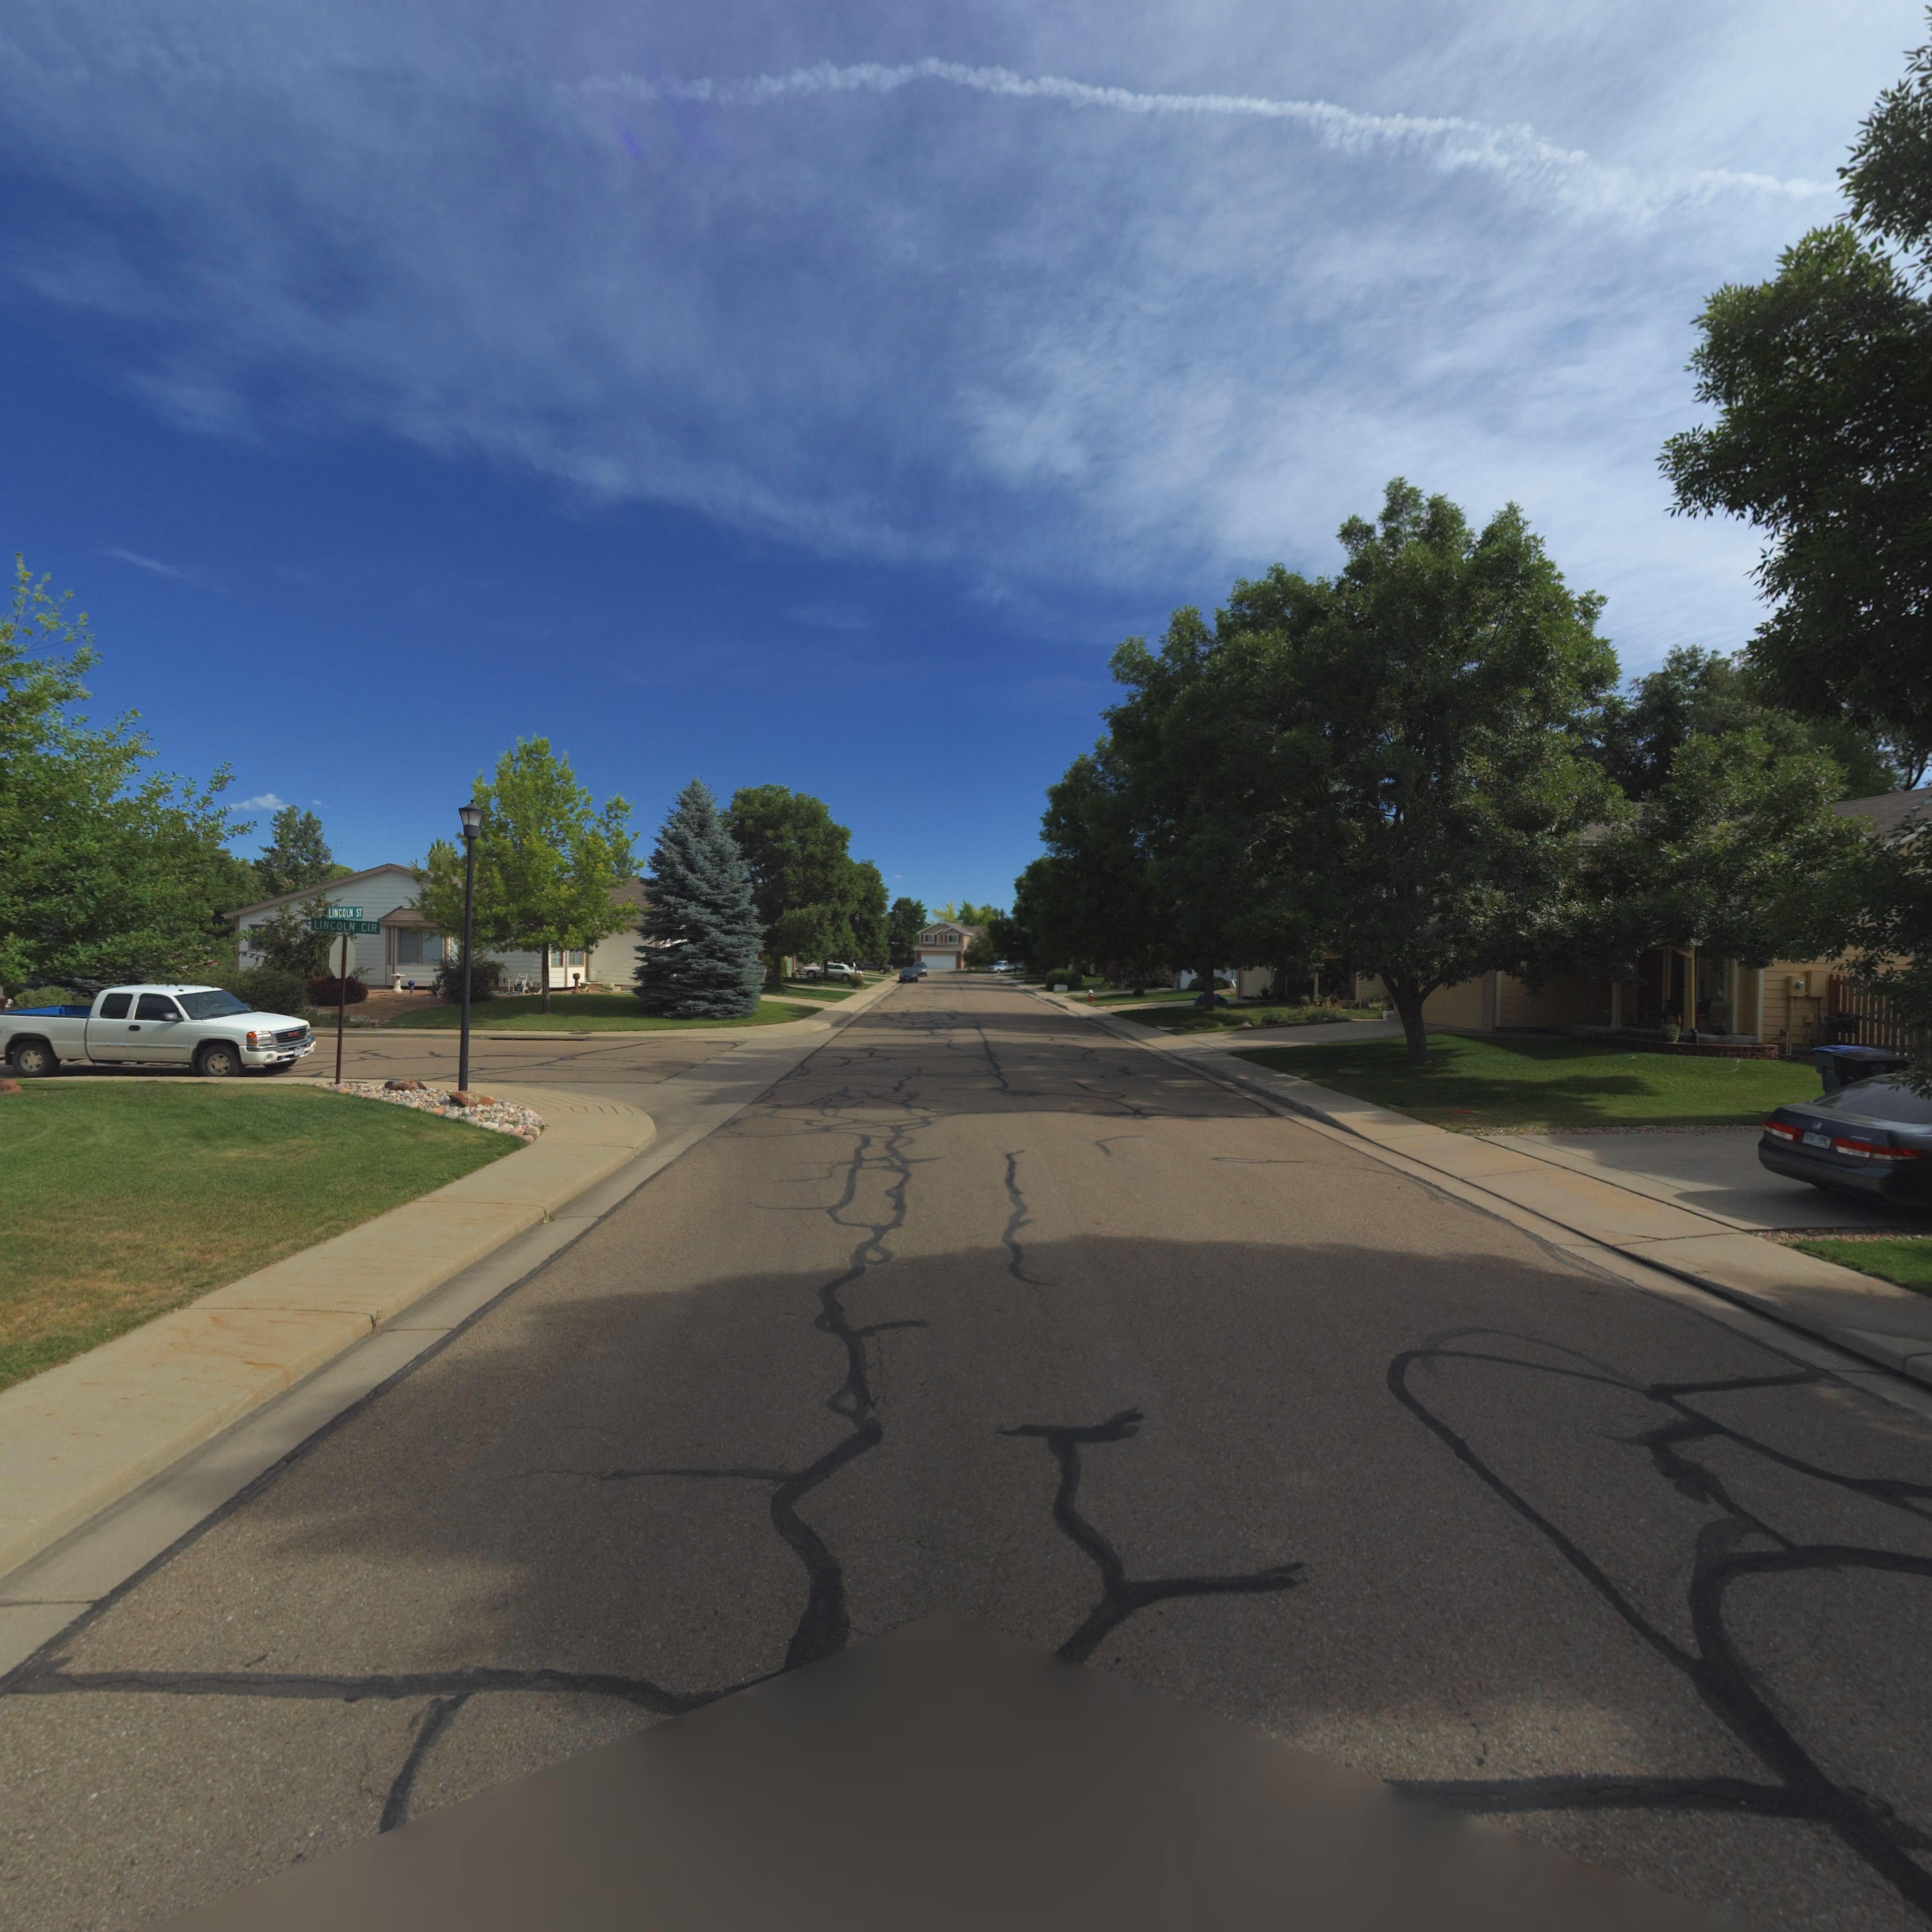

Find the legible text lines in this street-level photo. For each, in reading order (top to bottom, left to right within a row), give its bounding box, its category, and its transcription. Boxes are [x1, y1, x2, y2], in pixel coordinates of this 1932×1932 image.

[328, 908, 362, 918] StreetName: LINCOLN ST
[314, 919, 377, 932] StreetName: LINCOLN CIR